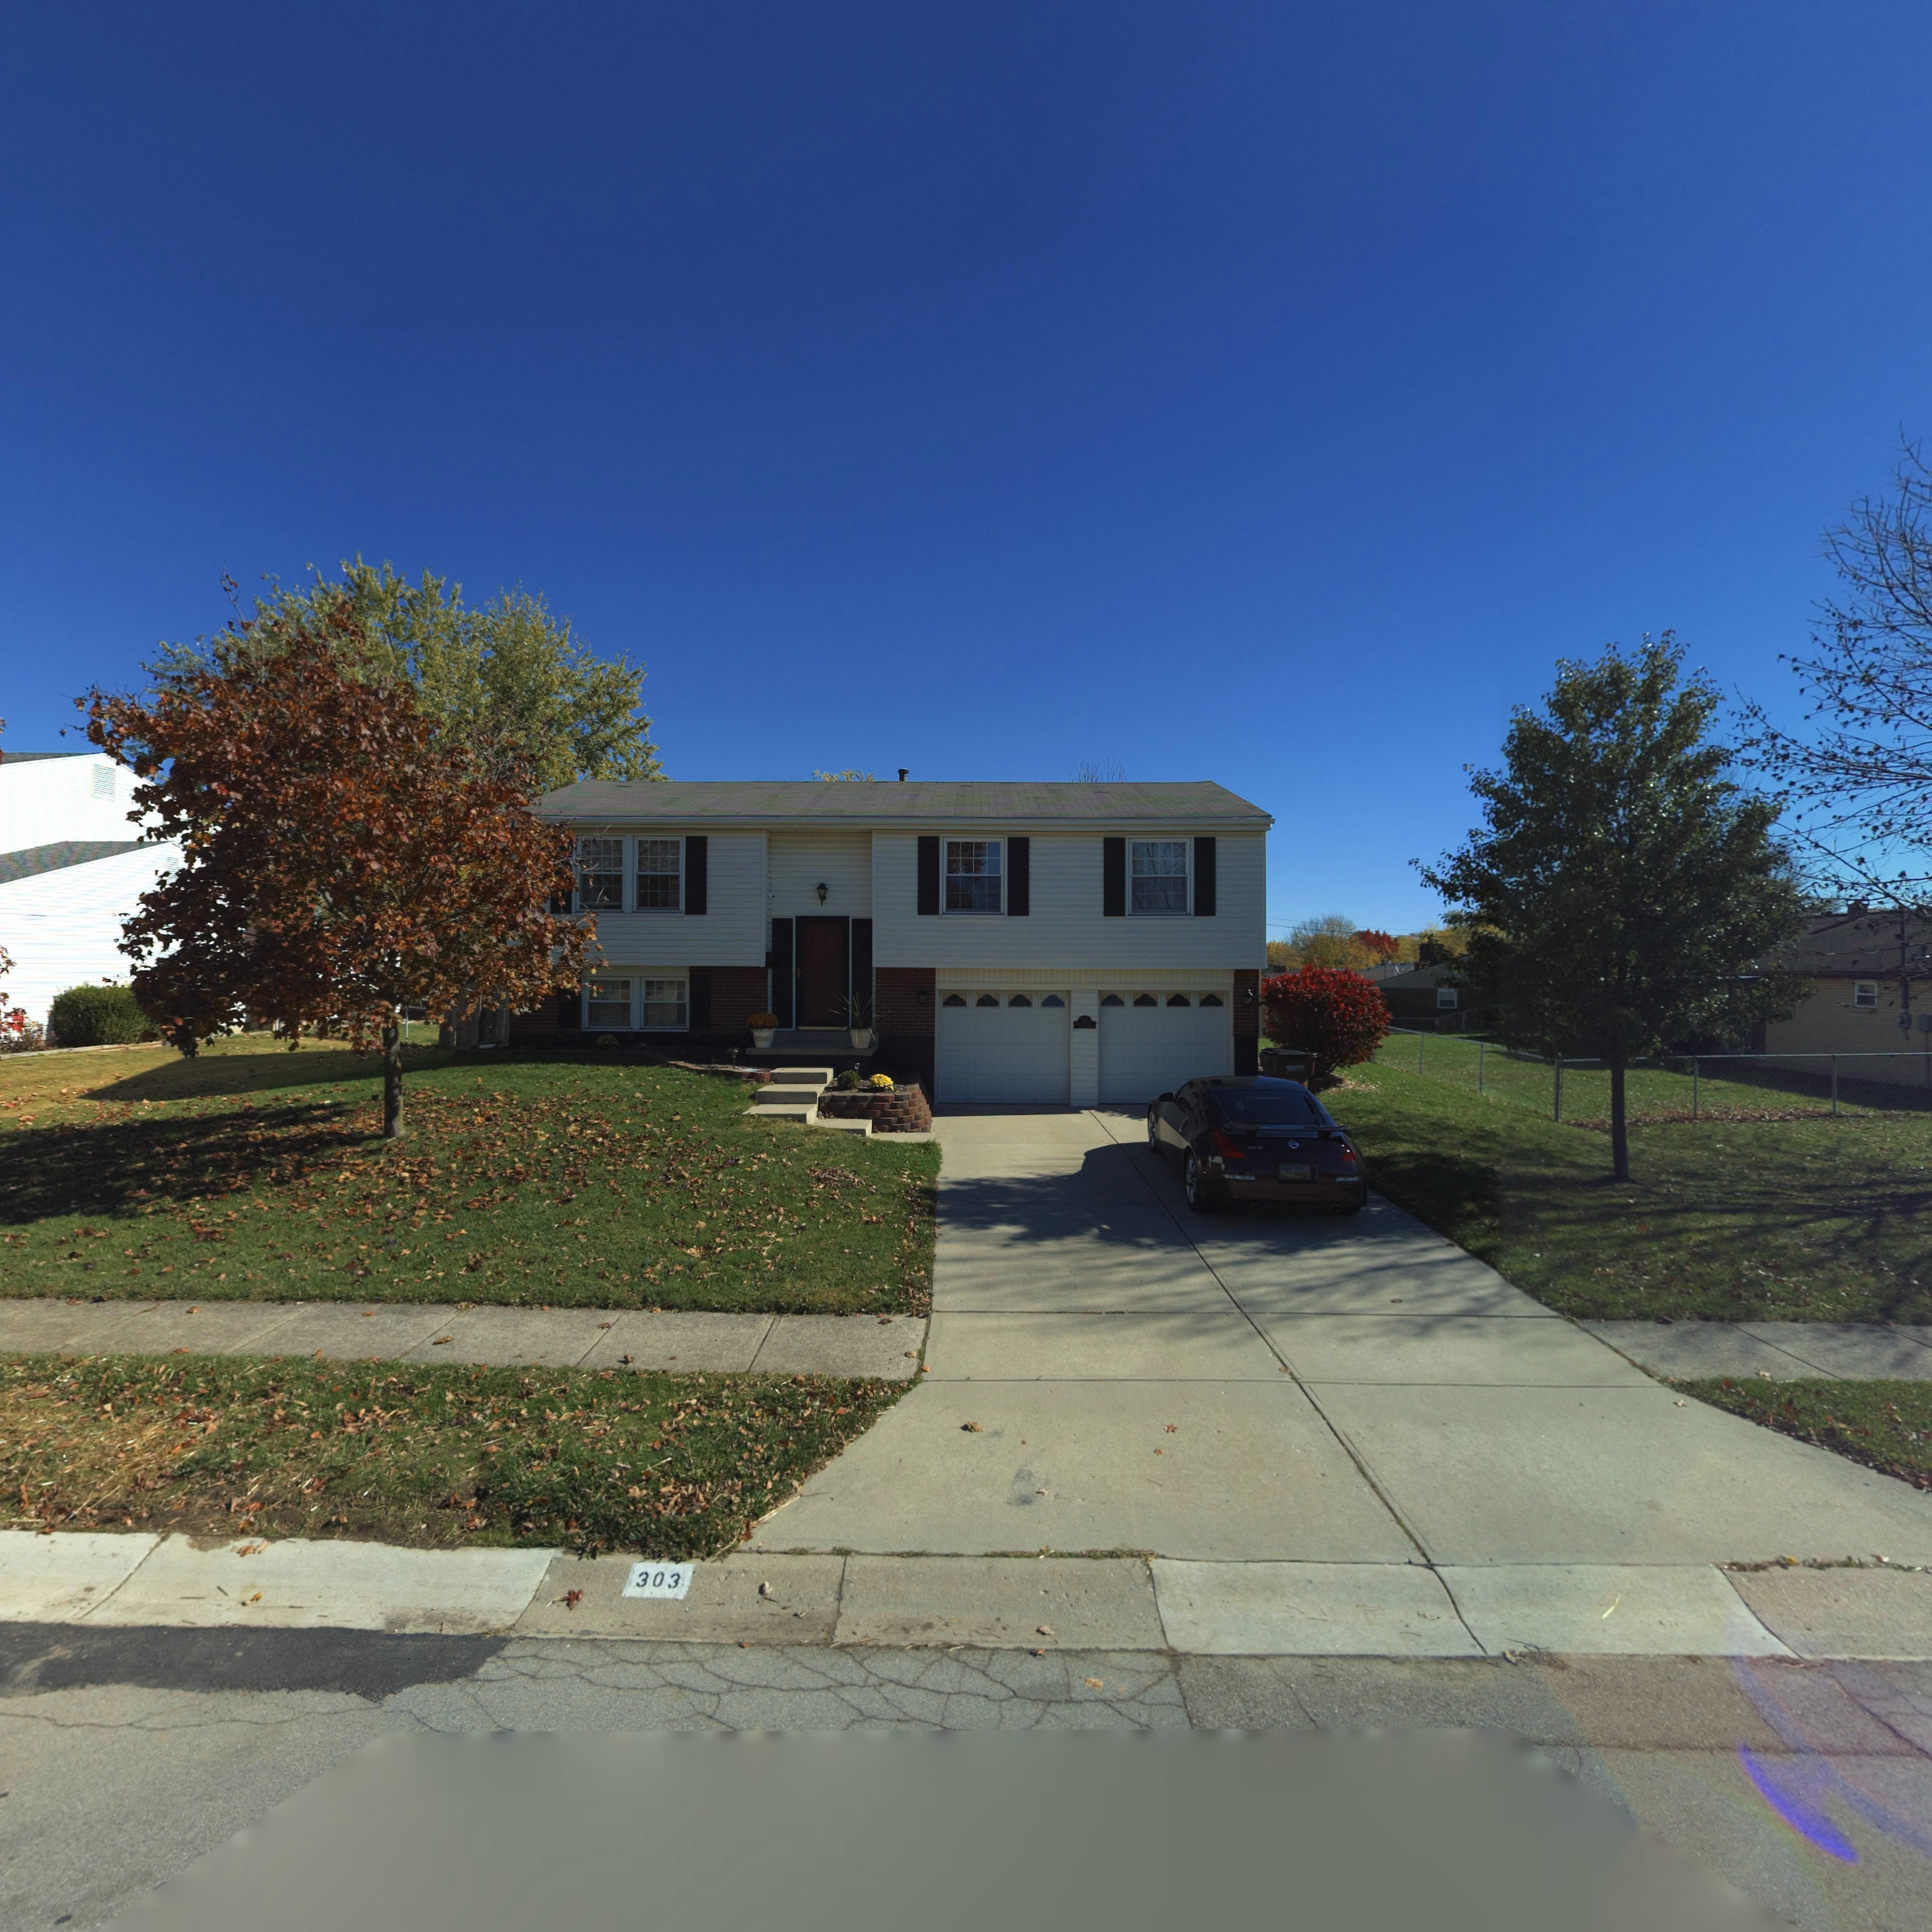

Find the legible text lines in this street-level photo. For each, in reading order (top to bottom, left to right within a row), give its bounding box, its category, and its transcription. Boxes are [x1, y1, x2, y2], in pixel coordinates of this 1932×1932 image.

[632, 1569, 684, 1591] StreetNumber: 303